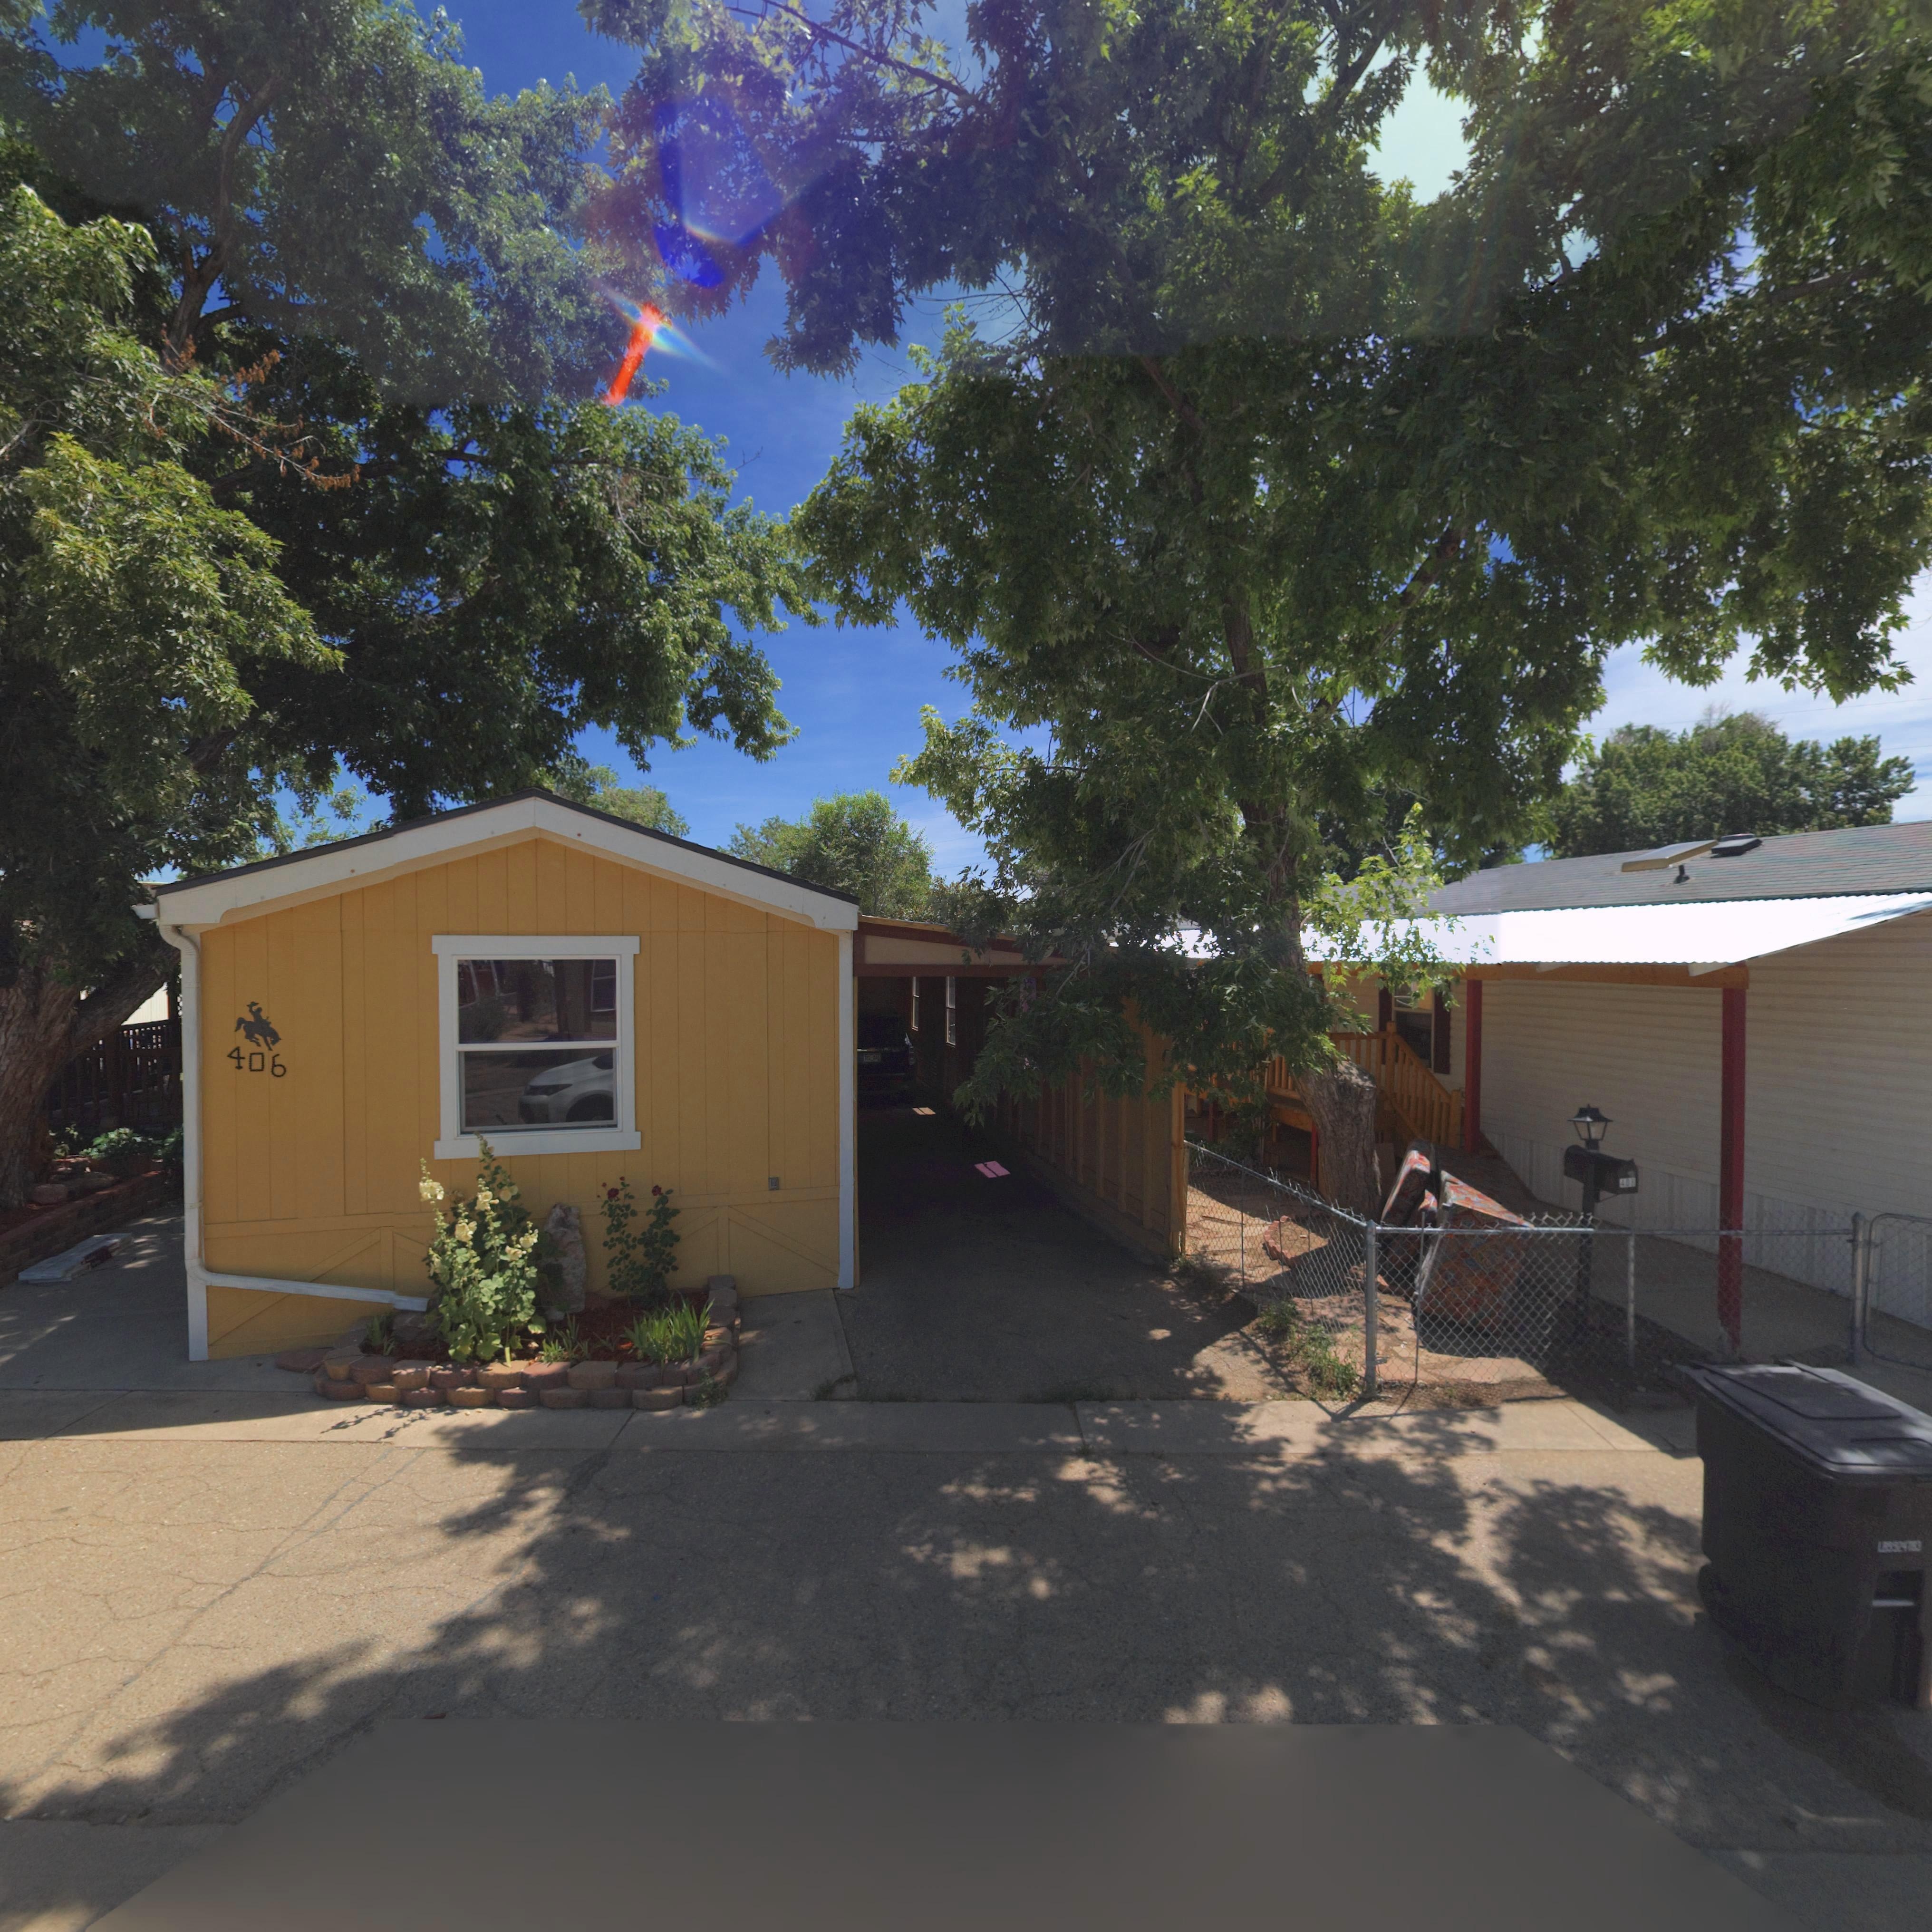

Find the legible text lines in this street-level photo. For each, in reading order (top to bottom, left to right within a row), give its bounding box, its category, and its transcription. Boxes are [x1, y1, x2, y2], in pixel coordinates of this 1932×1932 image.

[226, 1045, 287, 1078] StreetNumber: 406
[1621, 1178, 1635, 1187] StreetNumber: 40*